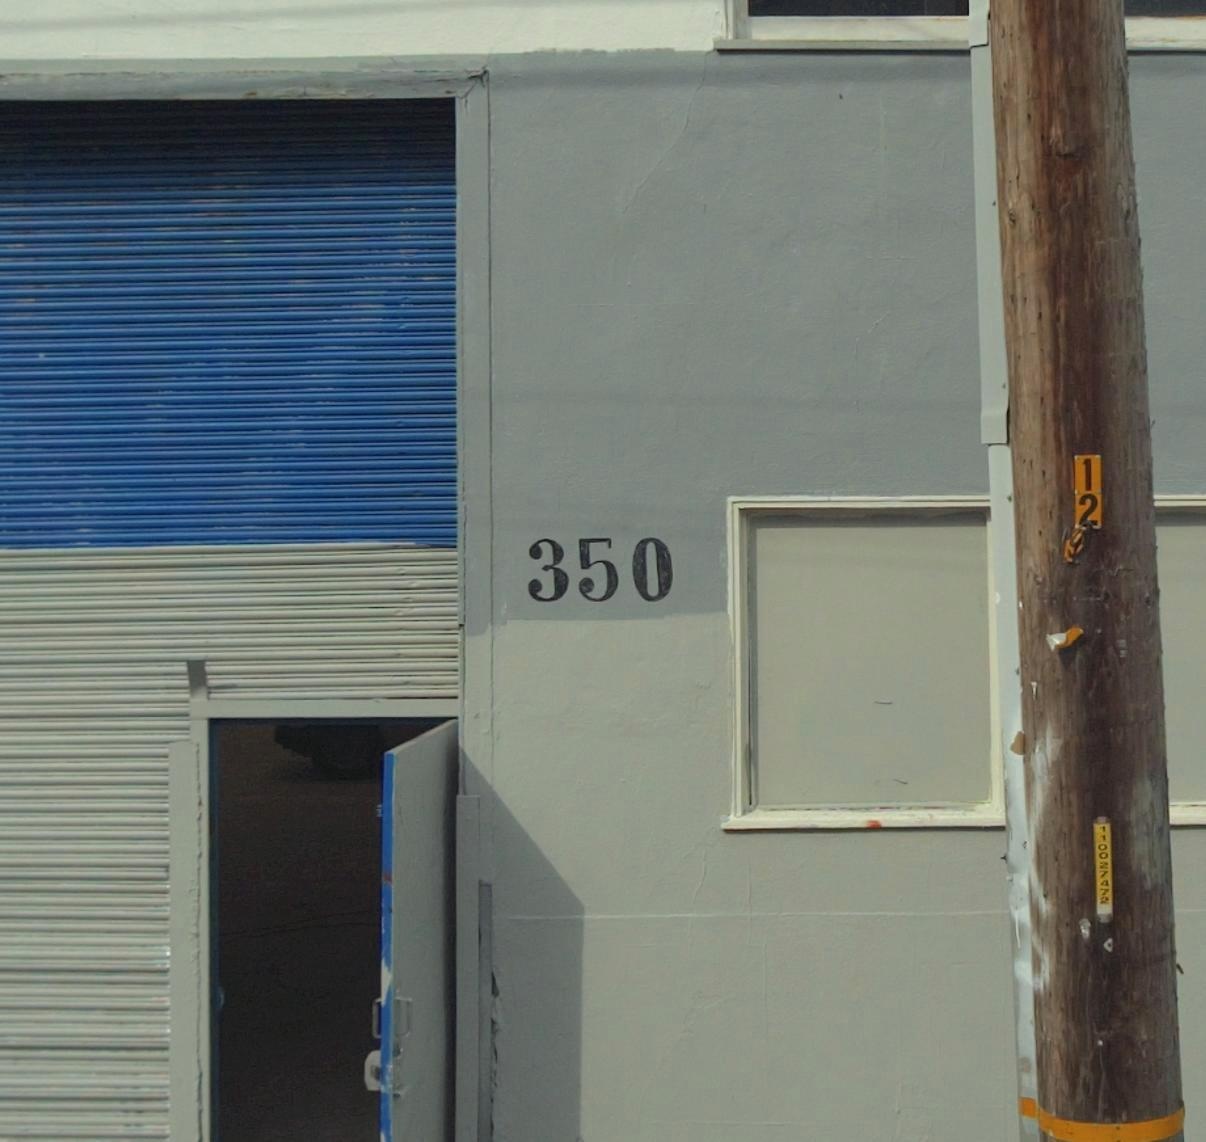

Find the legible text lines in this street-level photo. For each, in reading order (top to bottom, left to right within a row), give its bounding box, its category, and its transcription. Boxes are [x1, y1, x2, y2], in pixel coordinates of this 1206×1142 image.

[1075, 454, 1099, 527] None: 12
[525, 536, 675, 604] StreetNumber: 350
[1096, 823, 1110, 907] None: 110027472